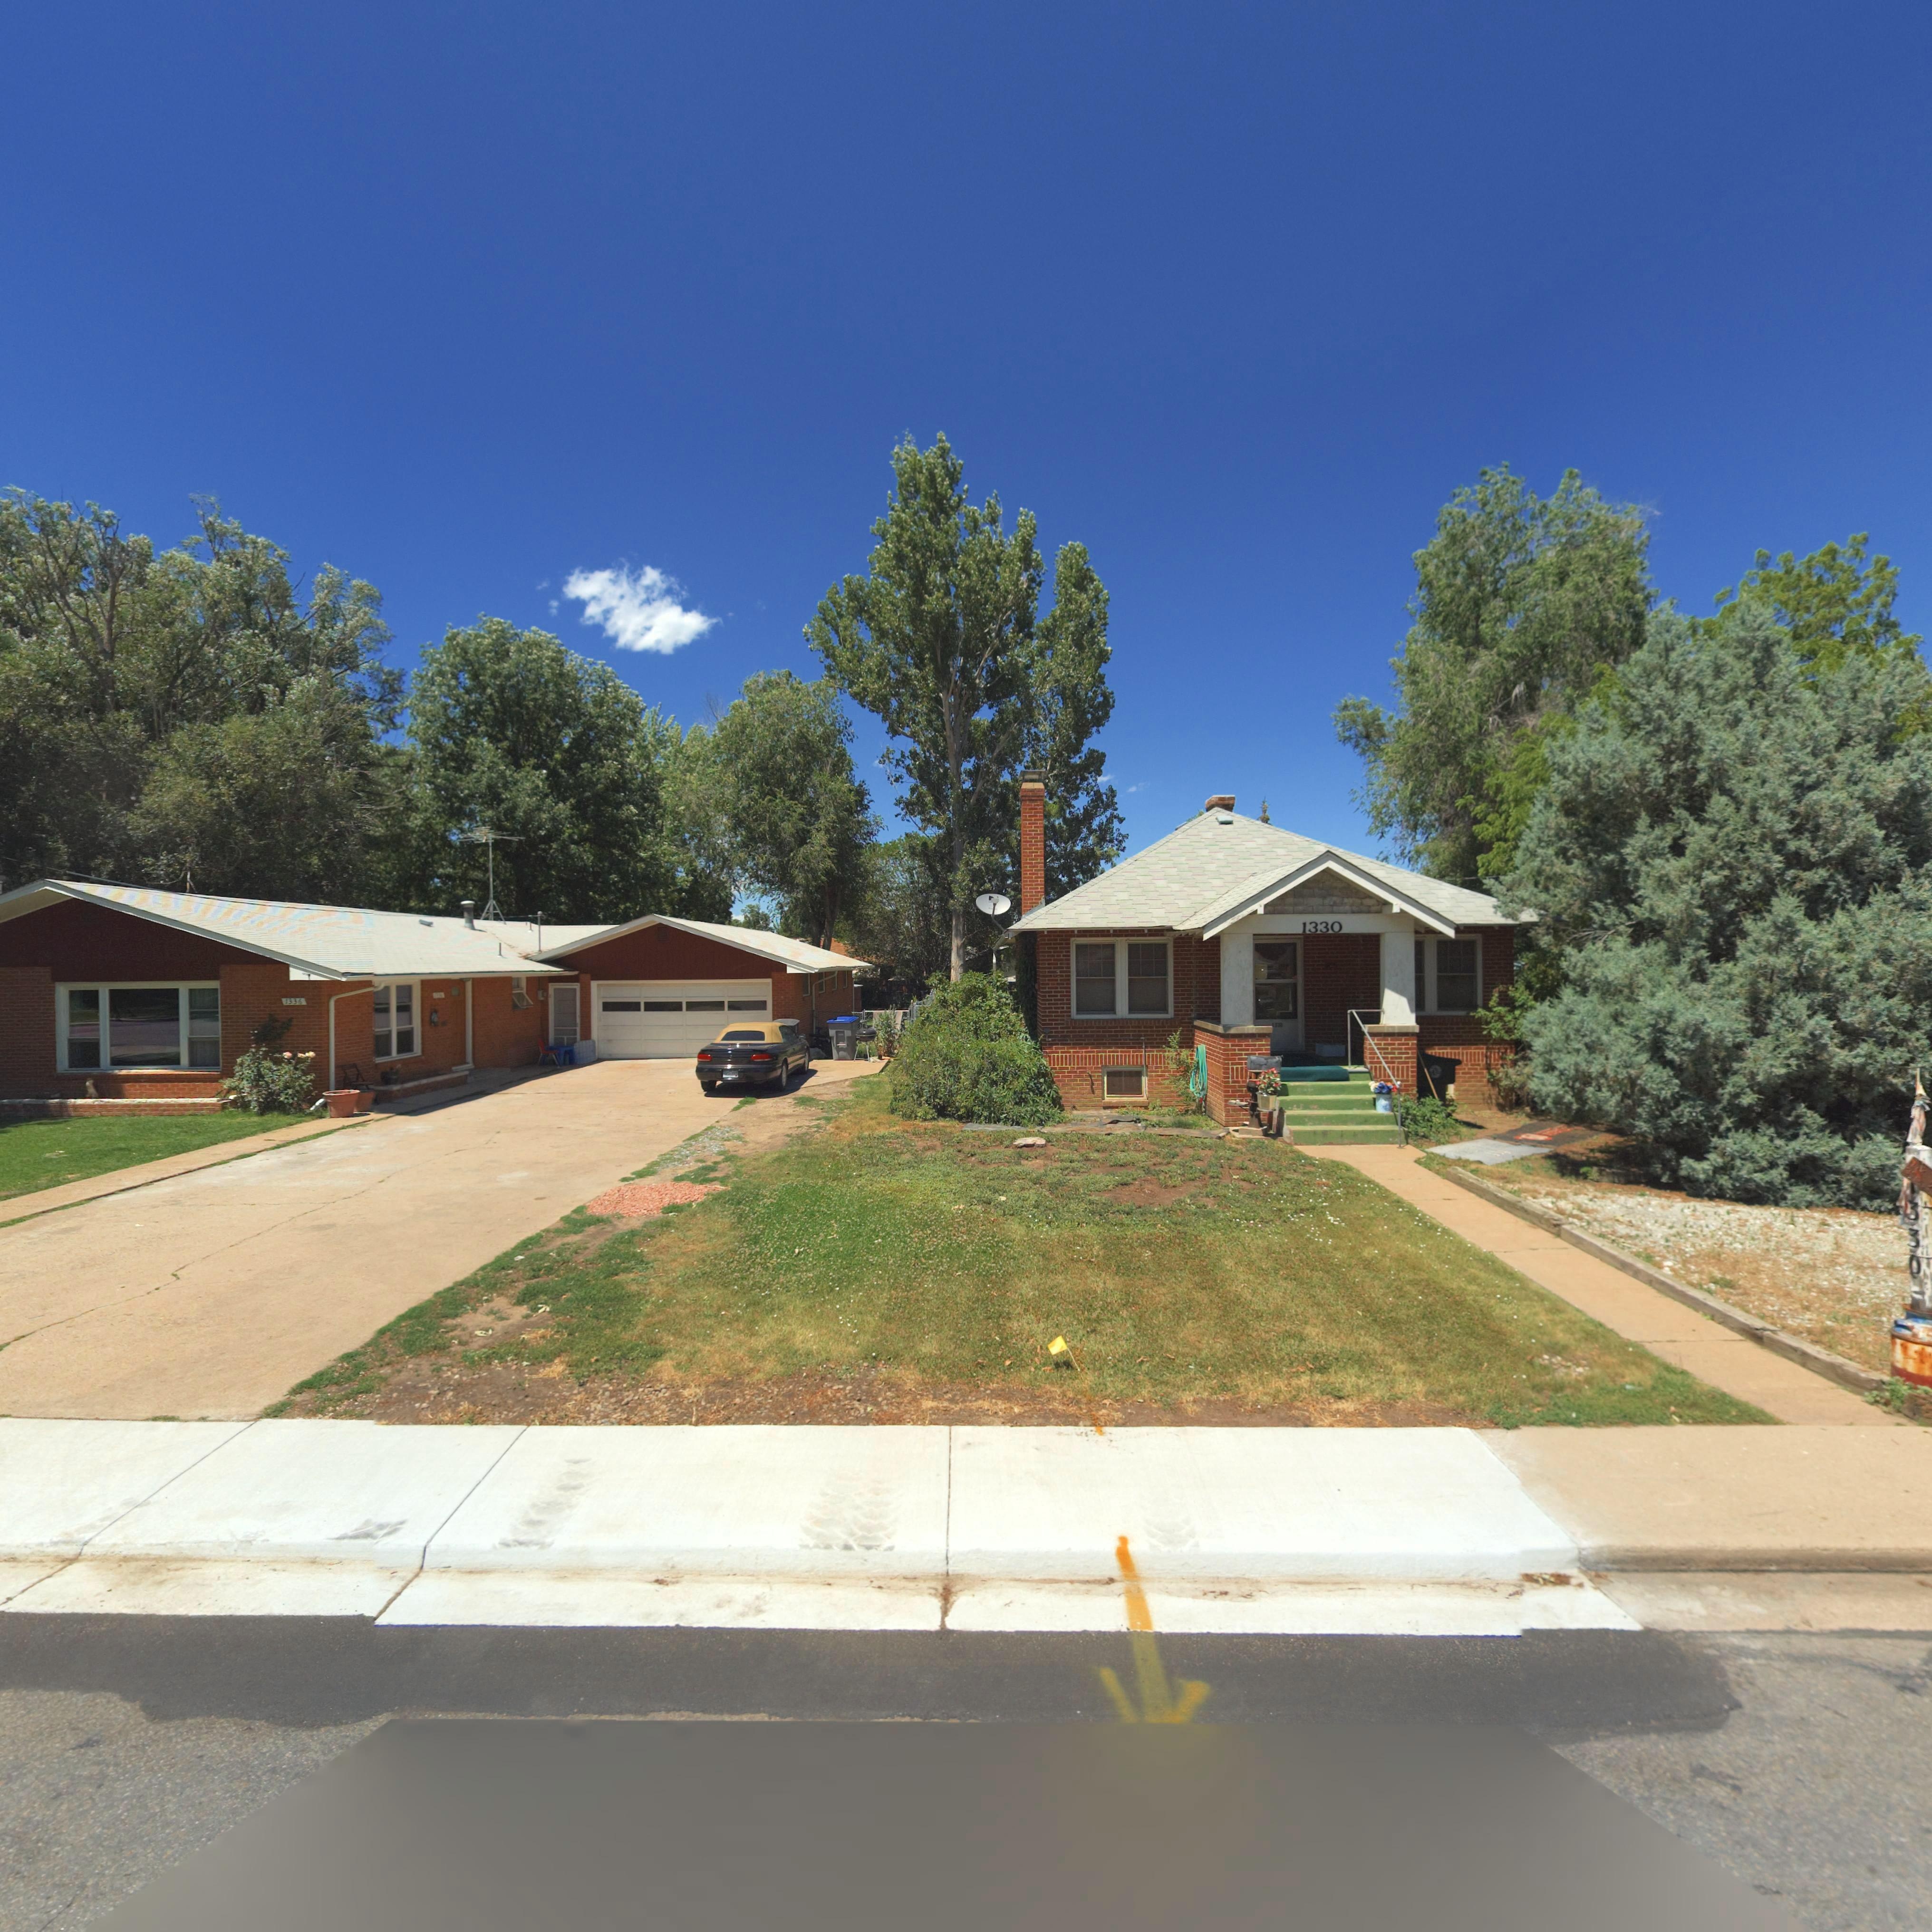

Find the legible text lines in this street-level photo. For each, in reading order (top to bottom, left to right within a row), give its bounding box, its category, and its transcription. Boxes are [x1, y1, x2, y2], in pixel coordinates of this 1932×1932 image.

[1298, 919, 1342, 935] StreetNumber: 1330
[285, 997, 302, 1005] StreetNumber: 1336
[1271, 1023, 1283, 1027] StreetNumber: 1*30
[1906, 1179, 1922, 1280] StreetNumber: 1330